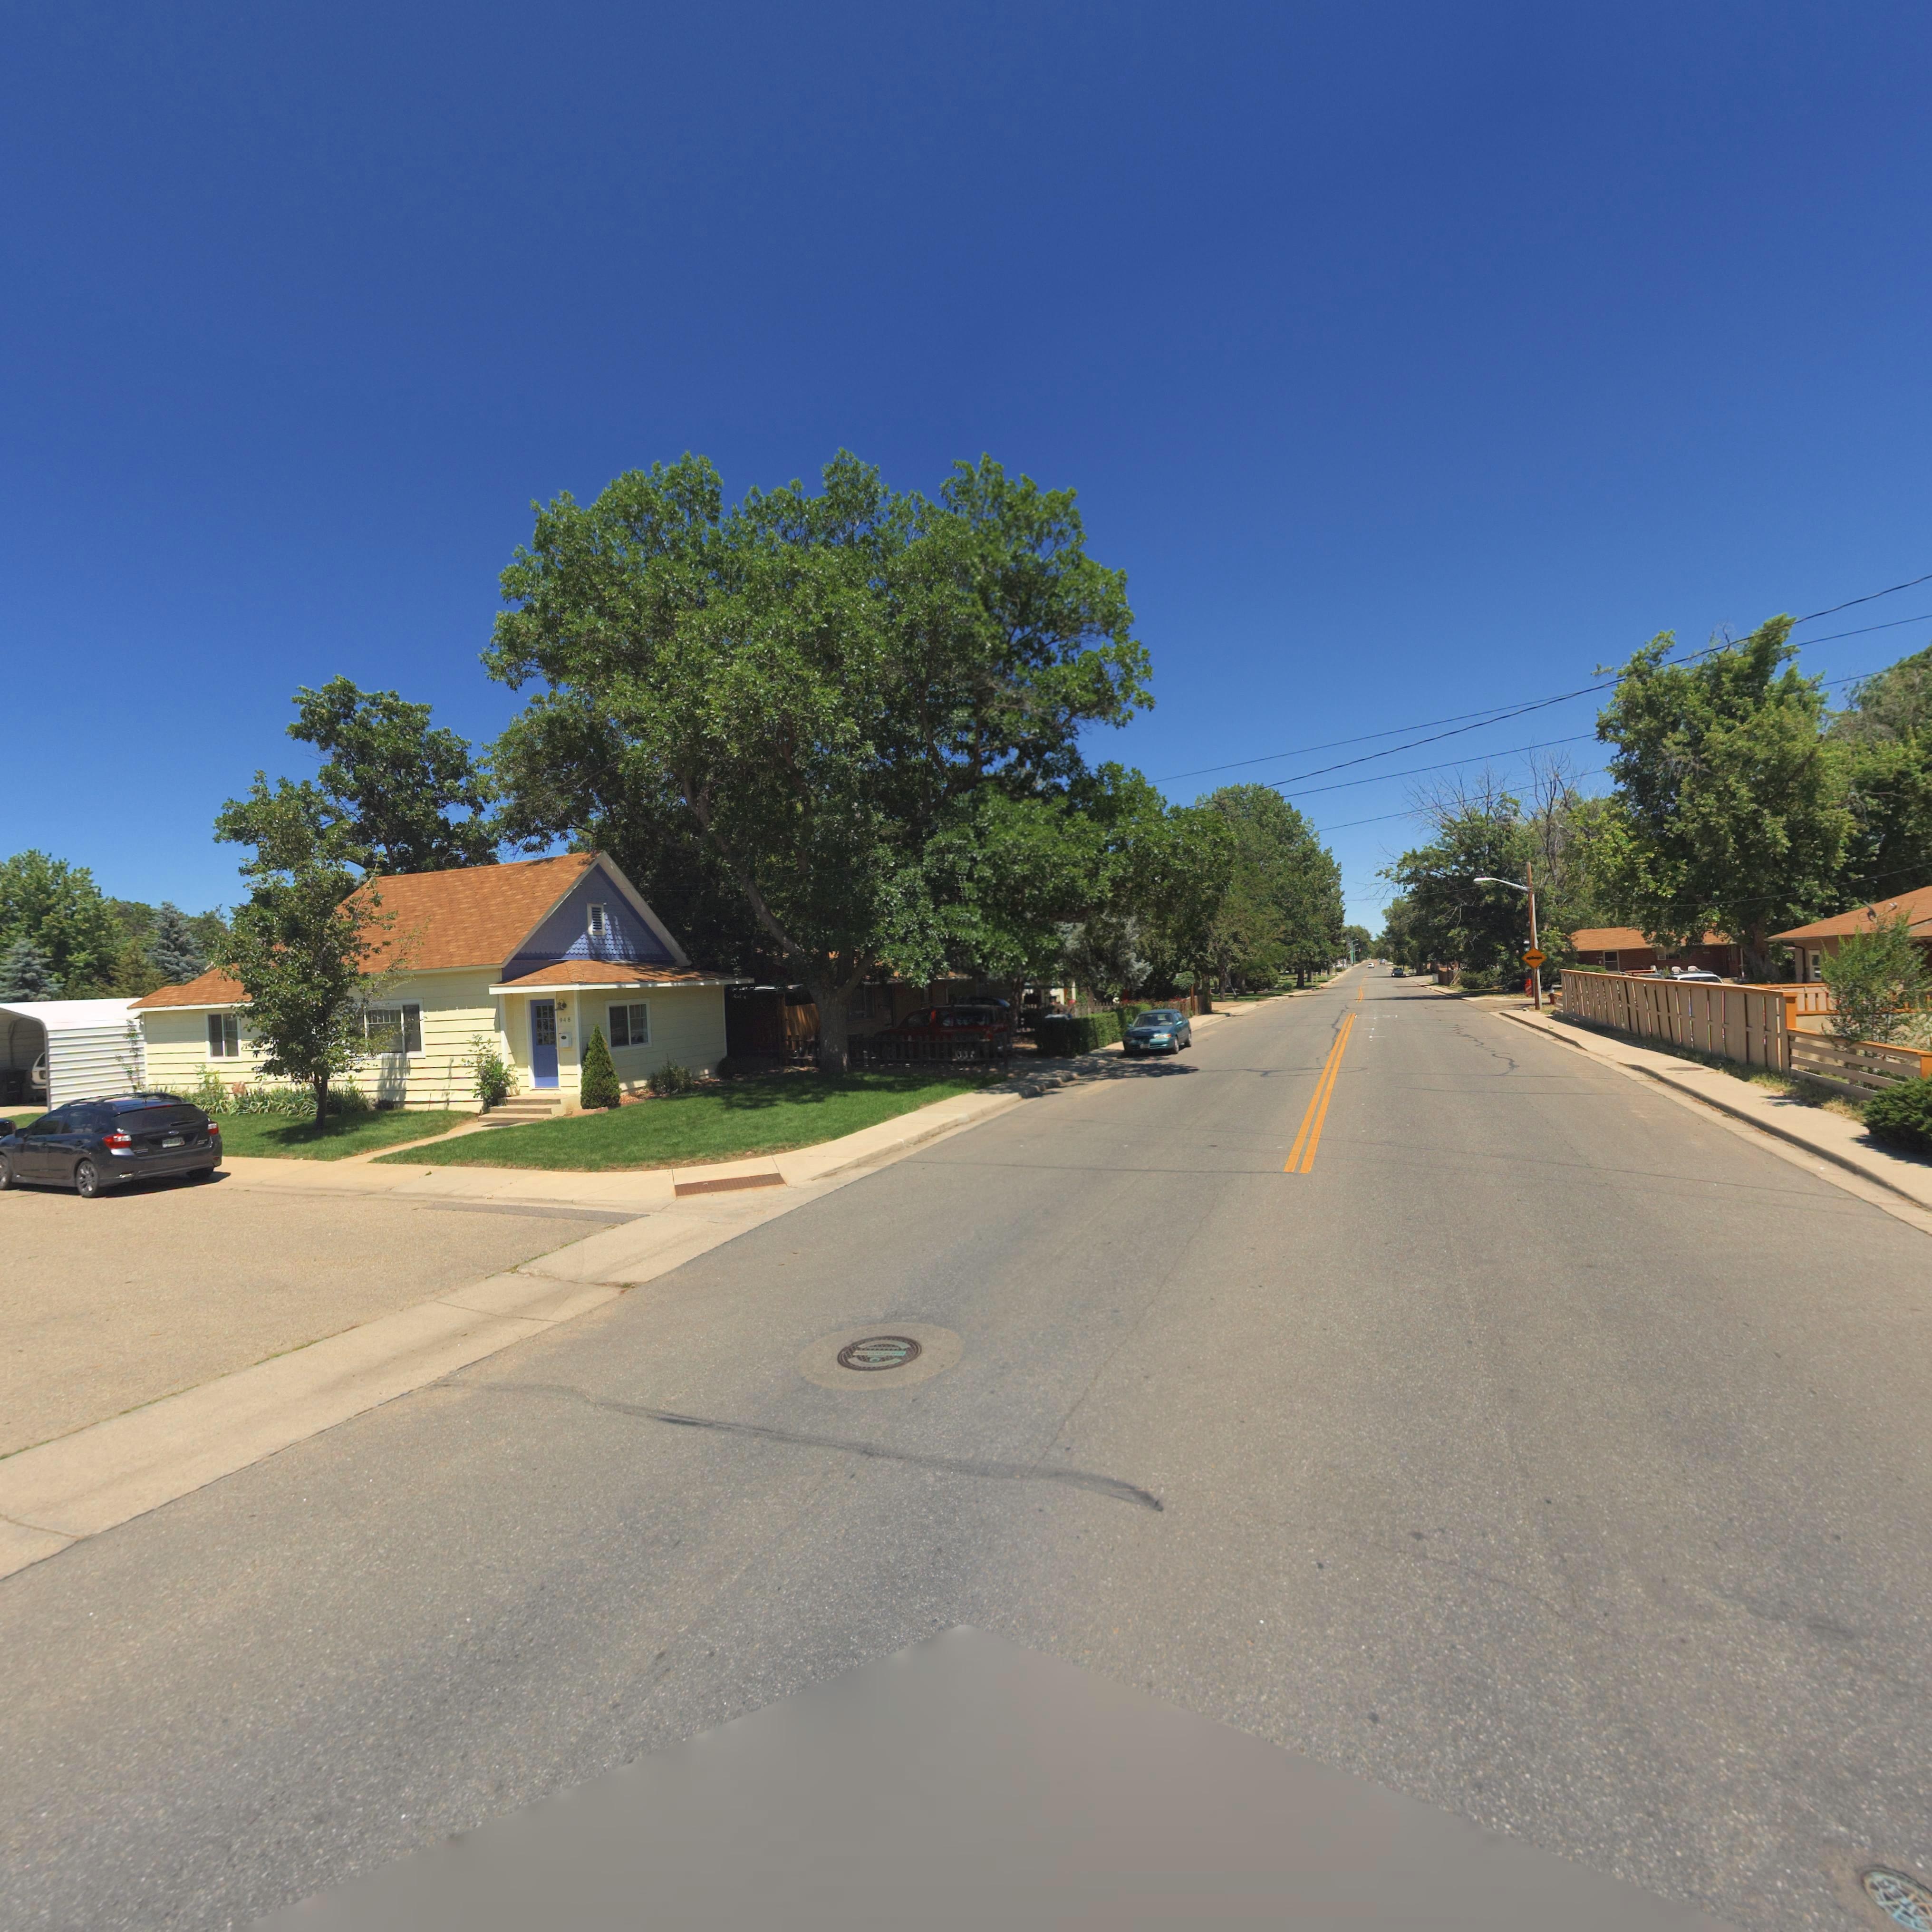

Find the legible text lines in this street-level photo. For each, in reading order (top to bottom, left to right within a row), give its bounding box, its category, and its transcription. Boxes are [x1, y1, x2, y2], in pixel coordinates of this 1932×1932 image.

[559, 1016, 571, 1023] StreetNumber: 948